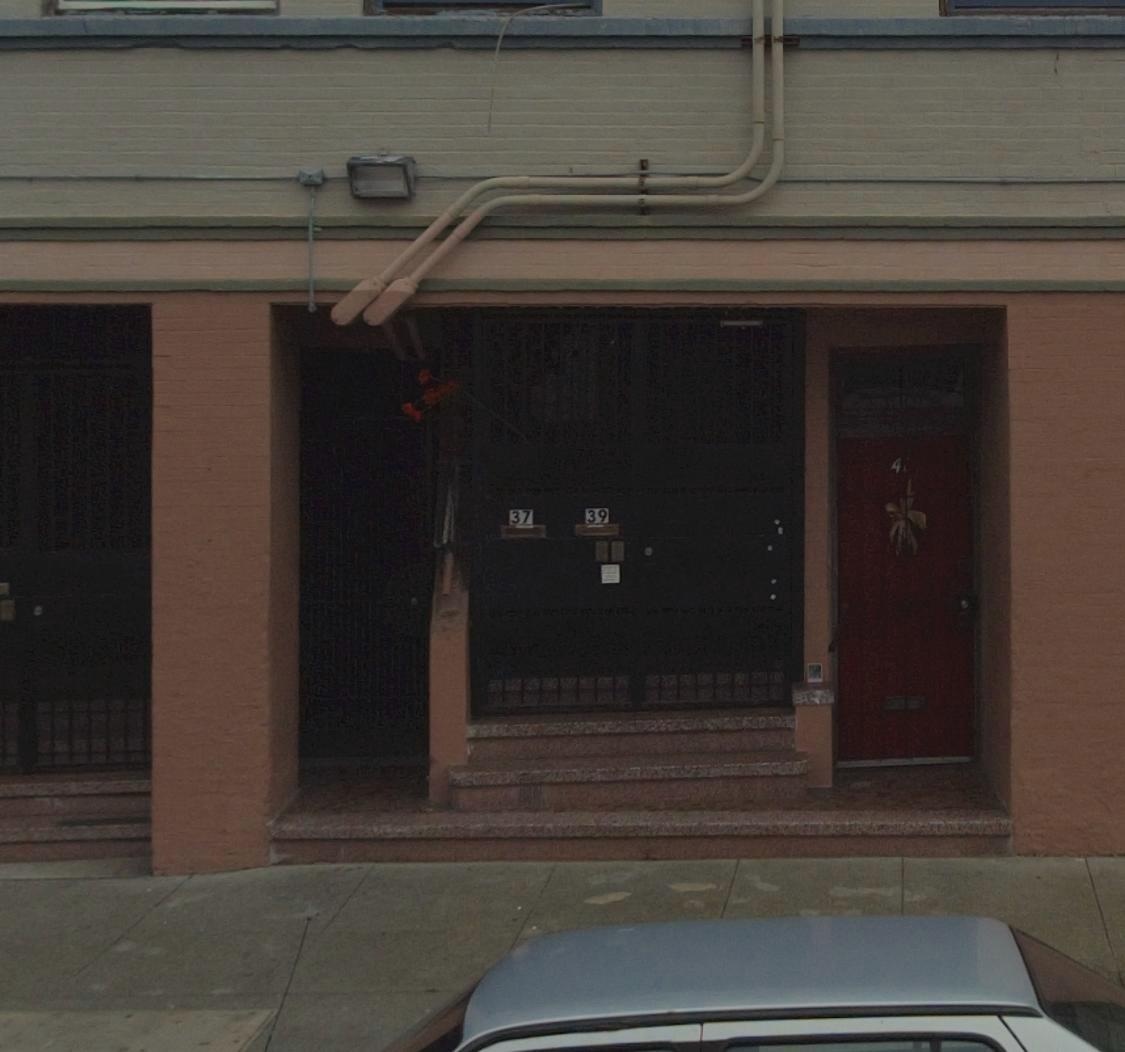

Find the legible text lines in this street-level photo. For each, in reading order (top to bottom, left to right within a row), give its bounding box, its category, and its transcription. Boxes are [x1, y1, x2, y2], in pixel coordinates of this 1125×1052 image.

[510, 509, 533, 525] StreetNumber: 37
[586, 508, 608, 524] StreetNumber: 39